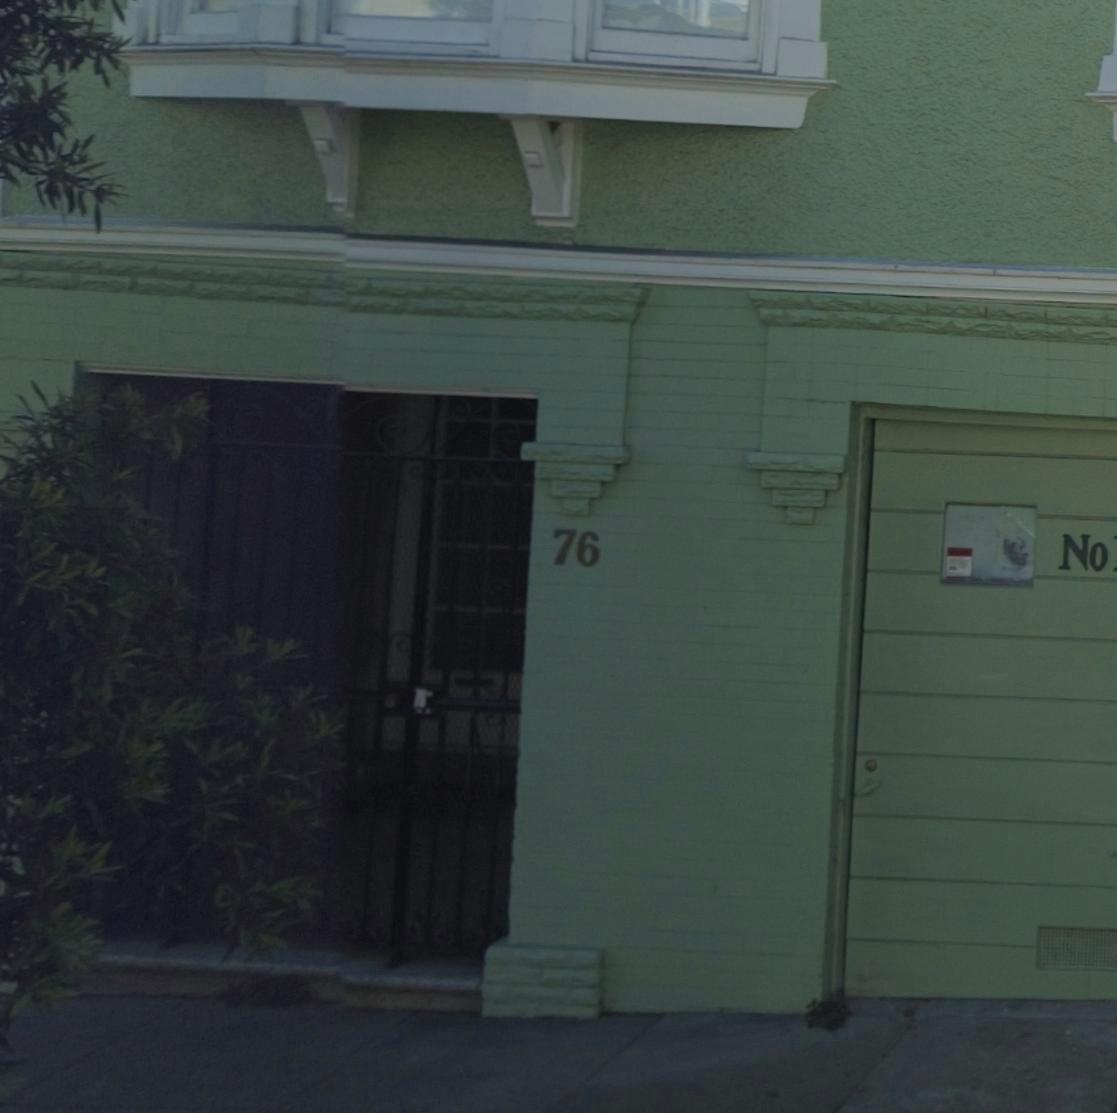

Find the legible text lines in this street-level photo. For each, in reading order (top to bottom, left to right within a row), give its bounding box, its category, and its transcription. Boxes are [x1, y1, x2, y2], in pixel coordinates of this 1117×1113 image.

[550, 526, 603, 569] StreetNumber: 76
[1057, 533, 1111, 574] None: No